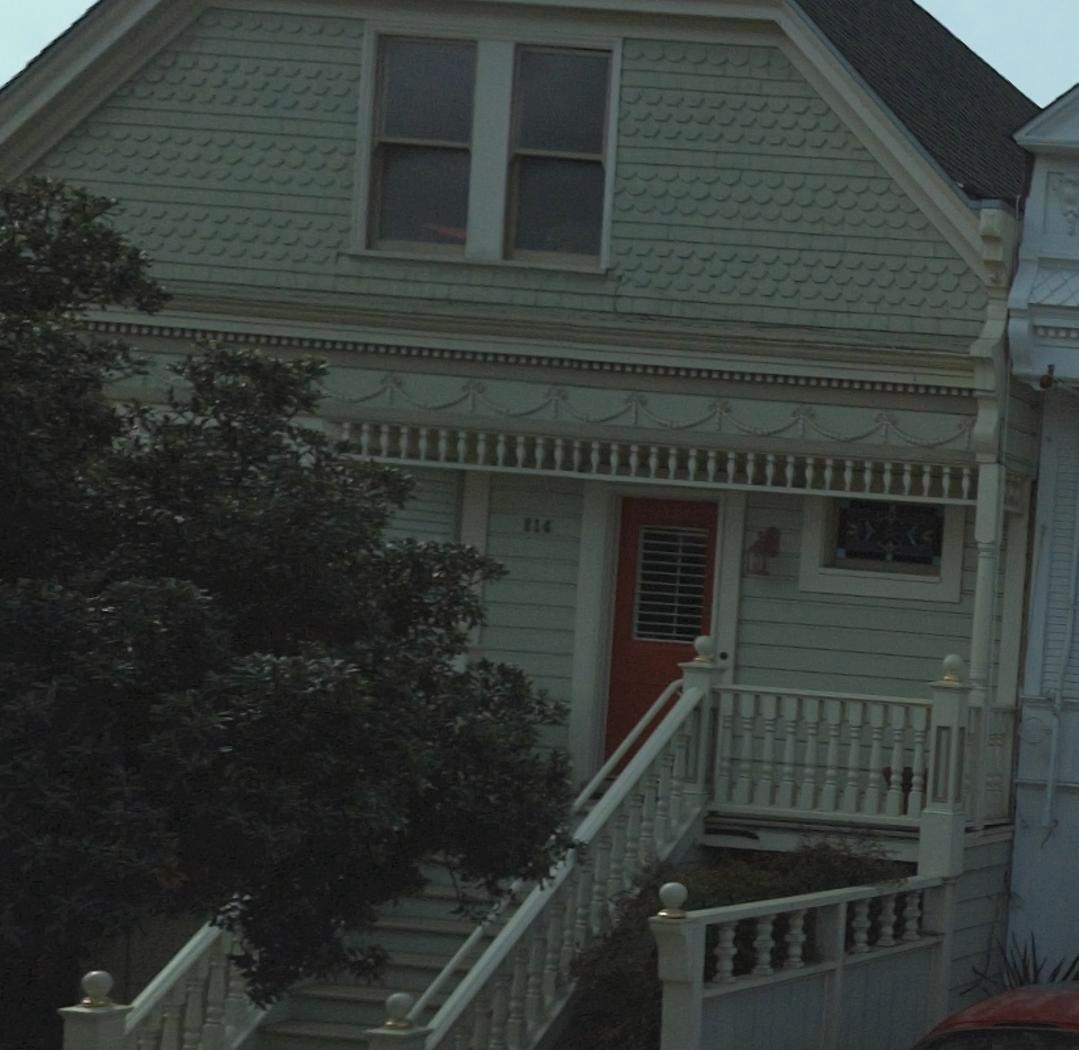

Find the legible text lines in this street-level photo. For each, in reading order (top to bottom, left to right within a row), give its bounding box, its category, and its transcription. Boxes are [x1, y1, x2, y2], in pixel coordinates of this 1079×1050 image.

[521, 518, 554, 534] StreetNumber: 814